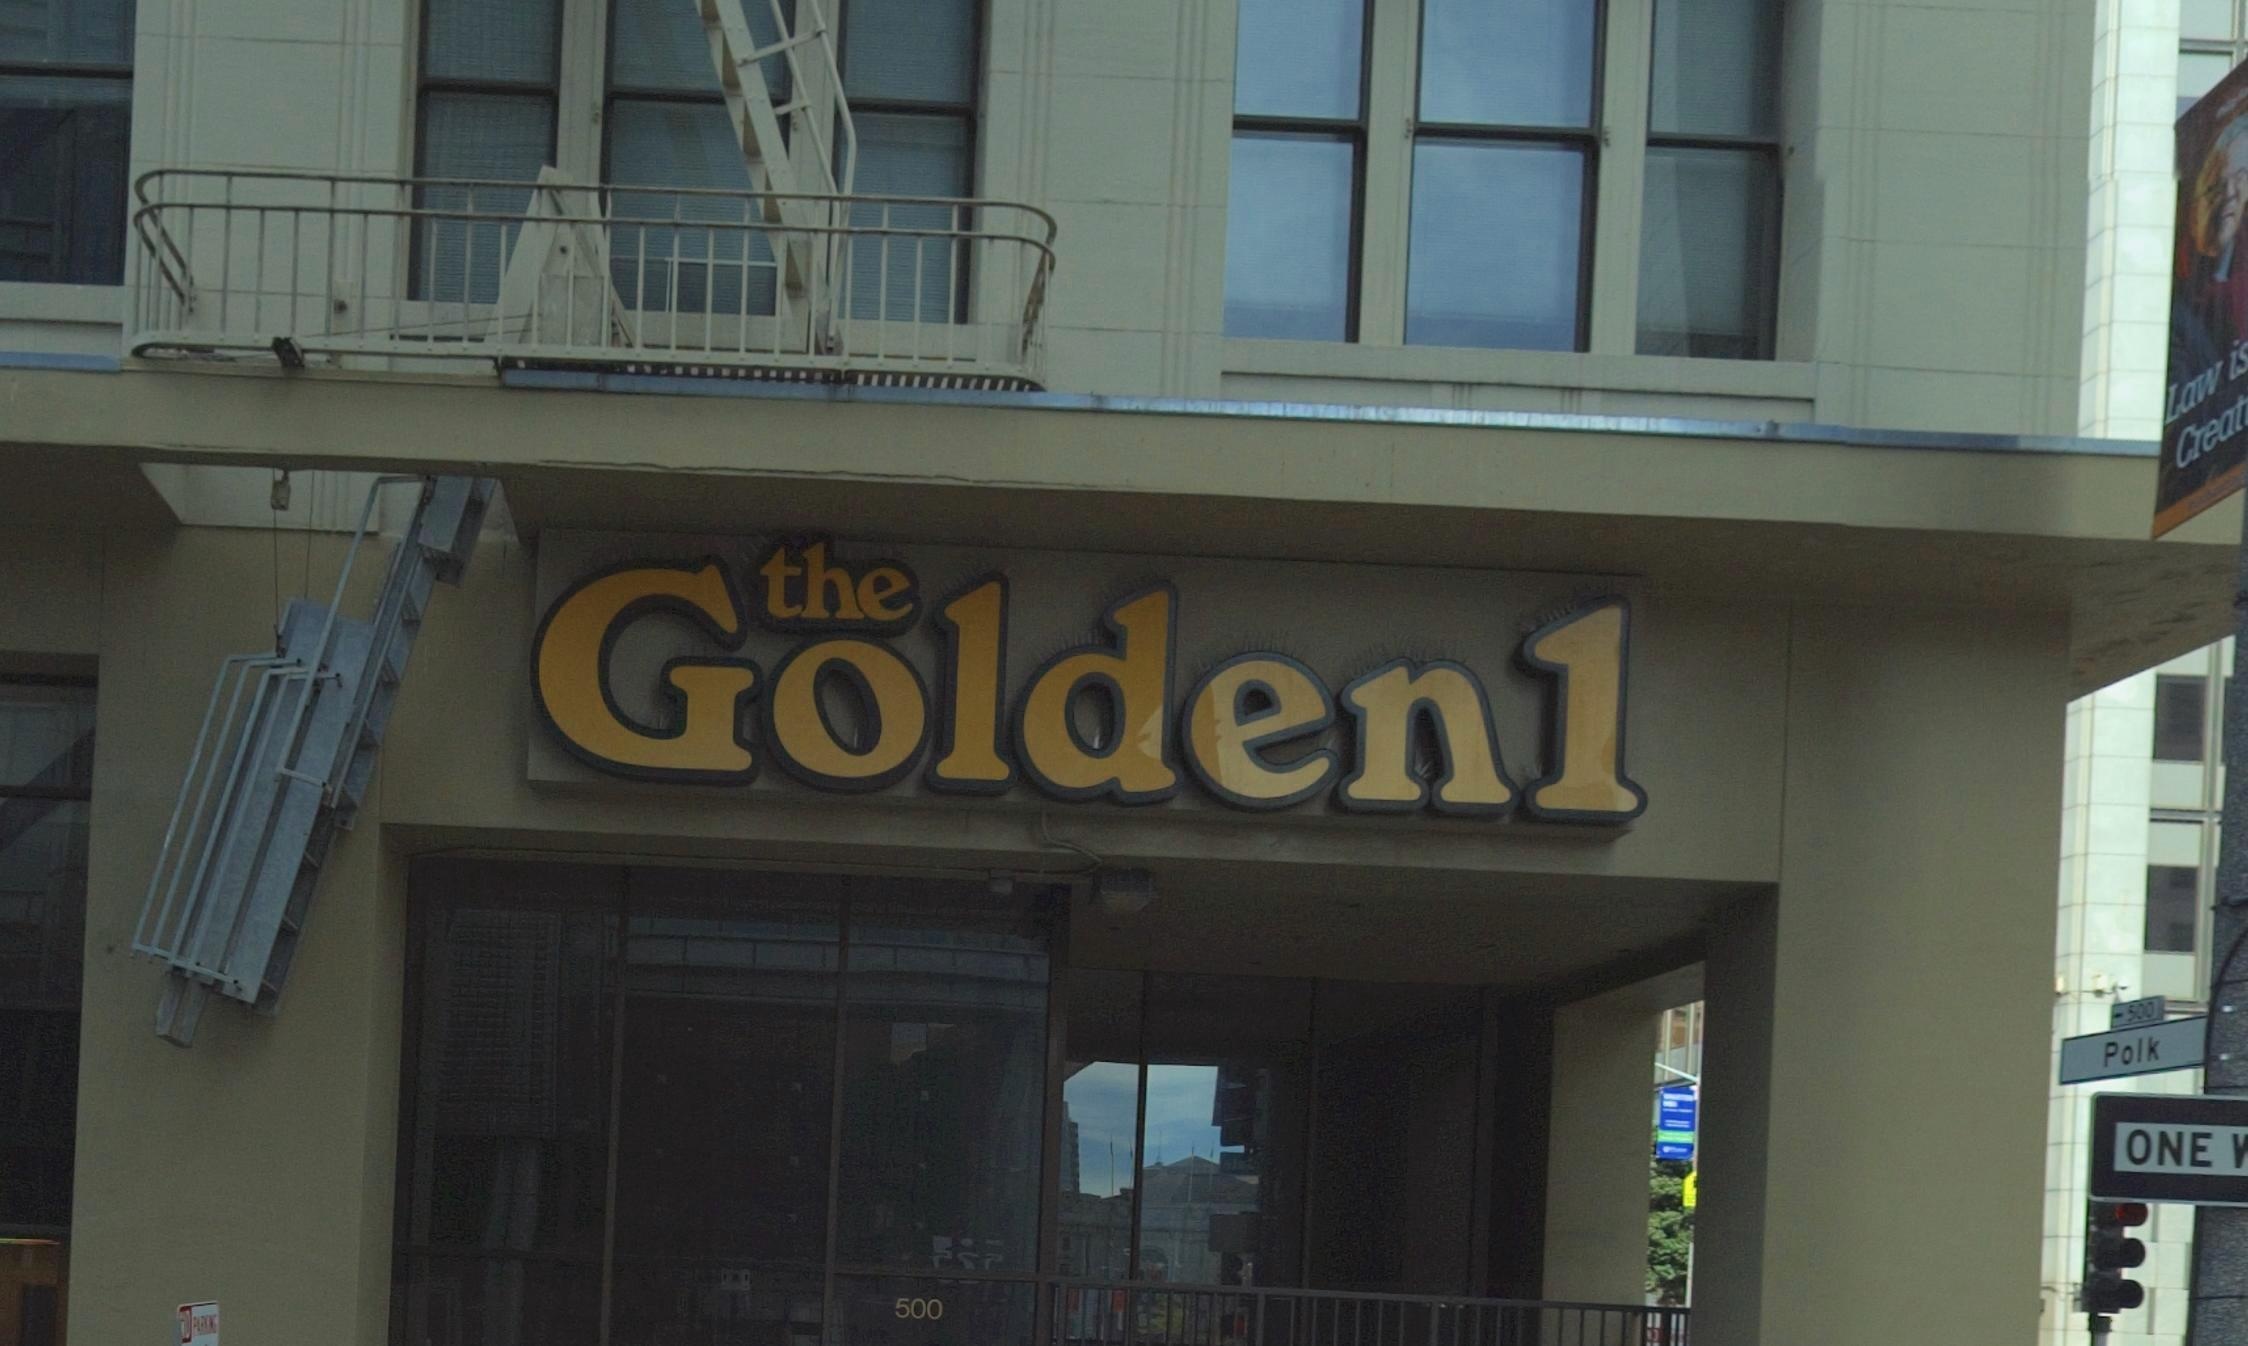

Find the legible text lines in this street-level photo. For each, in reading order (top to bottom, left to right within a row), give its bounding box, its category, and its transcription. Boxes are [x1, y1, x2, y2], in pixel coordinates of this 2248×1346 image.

[2162, 331, 2241, 432] None: Law i
[2173, 389, 2244, 473] None: Creat
[756, 535, 921, 628] None: the
[533, 560, 1642, 817] BusinessName: Golden 1
[2107, 998, 2158, 1025] StreetNumber: <-500
[2100, 1032, 2165, 1072] StreetName: Polk
[2121, 1126, 2218, 1172] None: ONE
[890, 1293, 949, 1324] StreetNumber: 500